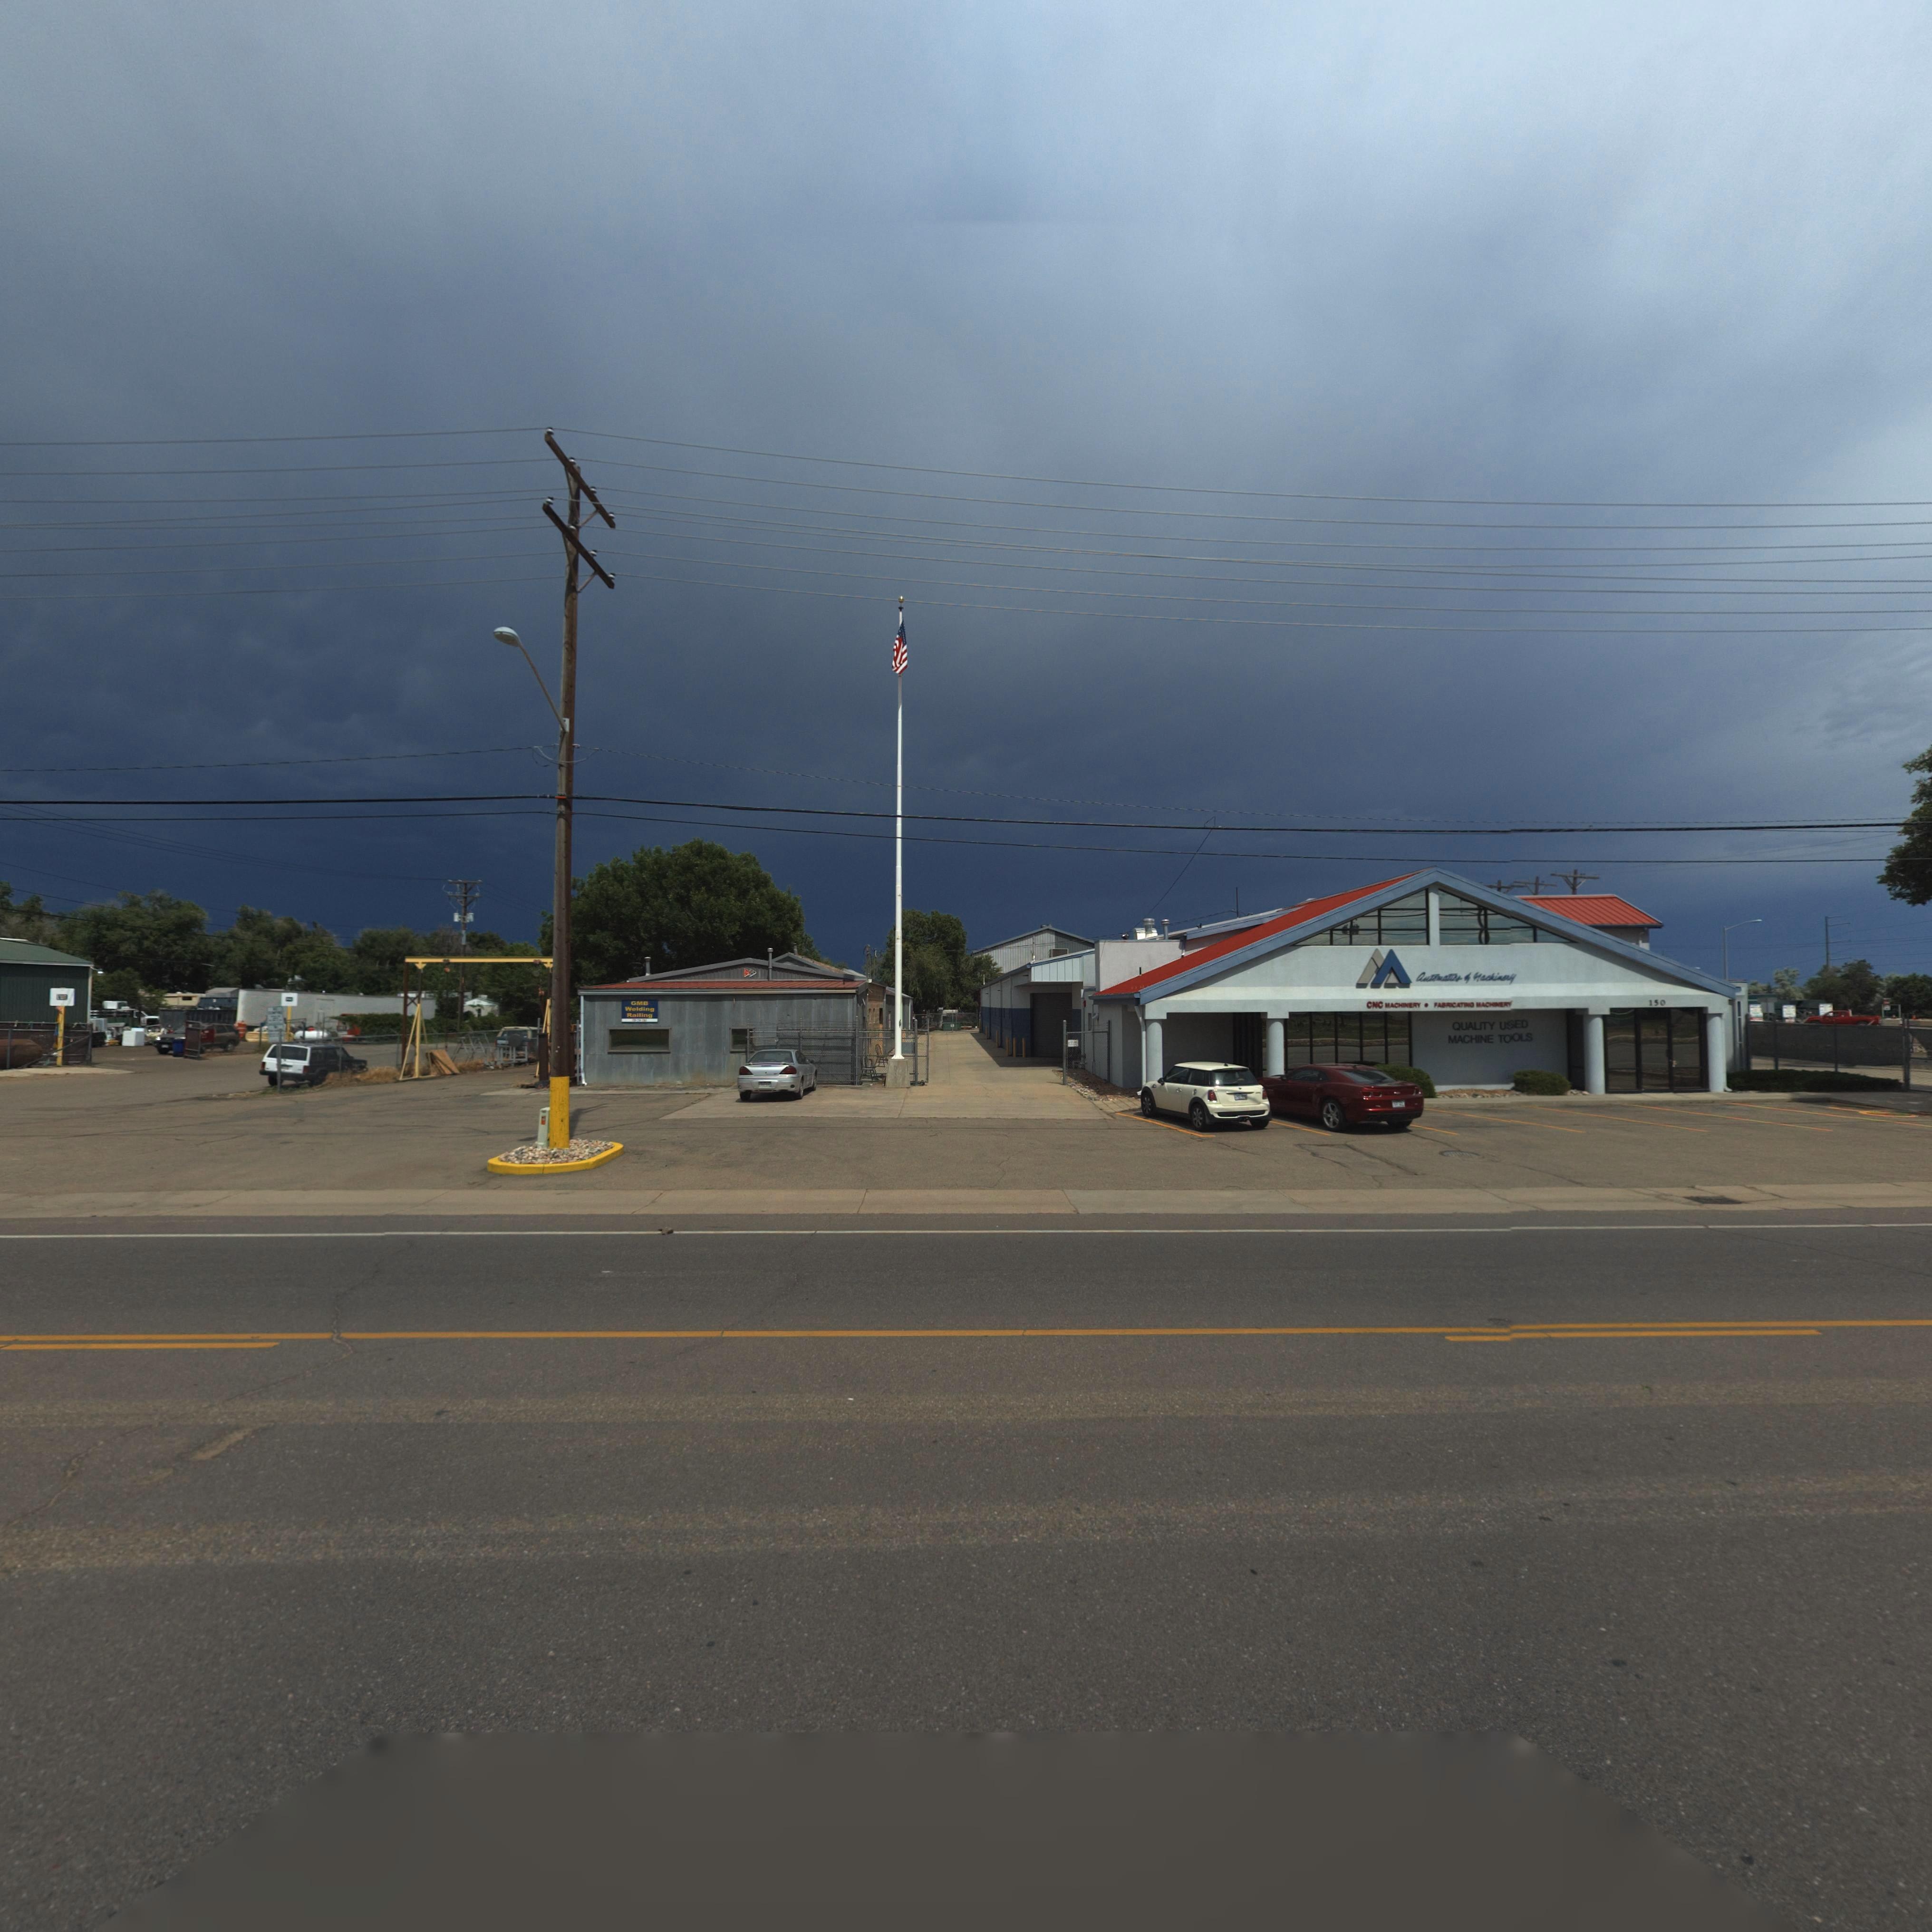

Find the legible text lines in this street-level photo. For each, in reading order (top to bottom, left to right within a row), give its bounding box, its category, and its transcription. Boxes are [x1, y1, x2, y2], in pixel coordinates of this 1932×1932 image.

[1413, 969, 1519, 985] BusinessName: Automatics of Machinery
[630, 1000, 649, 1005] BusinessName: GMB
[1648, 999, 1666, 1006] StreetNumber: 150
[623, 1005, 655, 1013] BusinessName: Welding
[626, 1012, 653, 1019] BusinessName: Railing